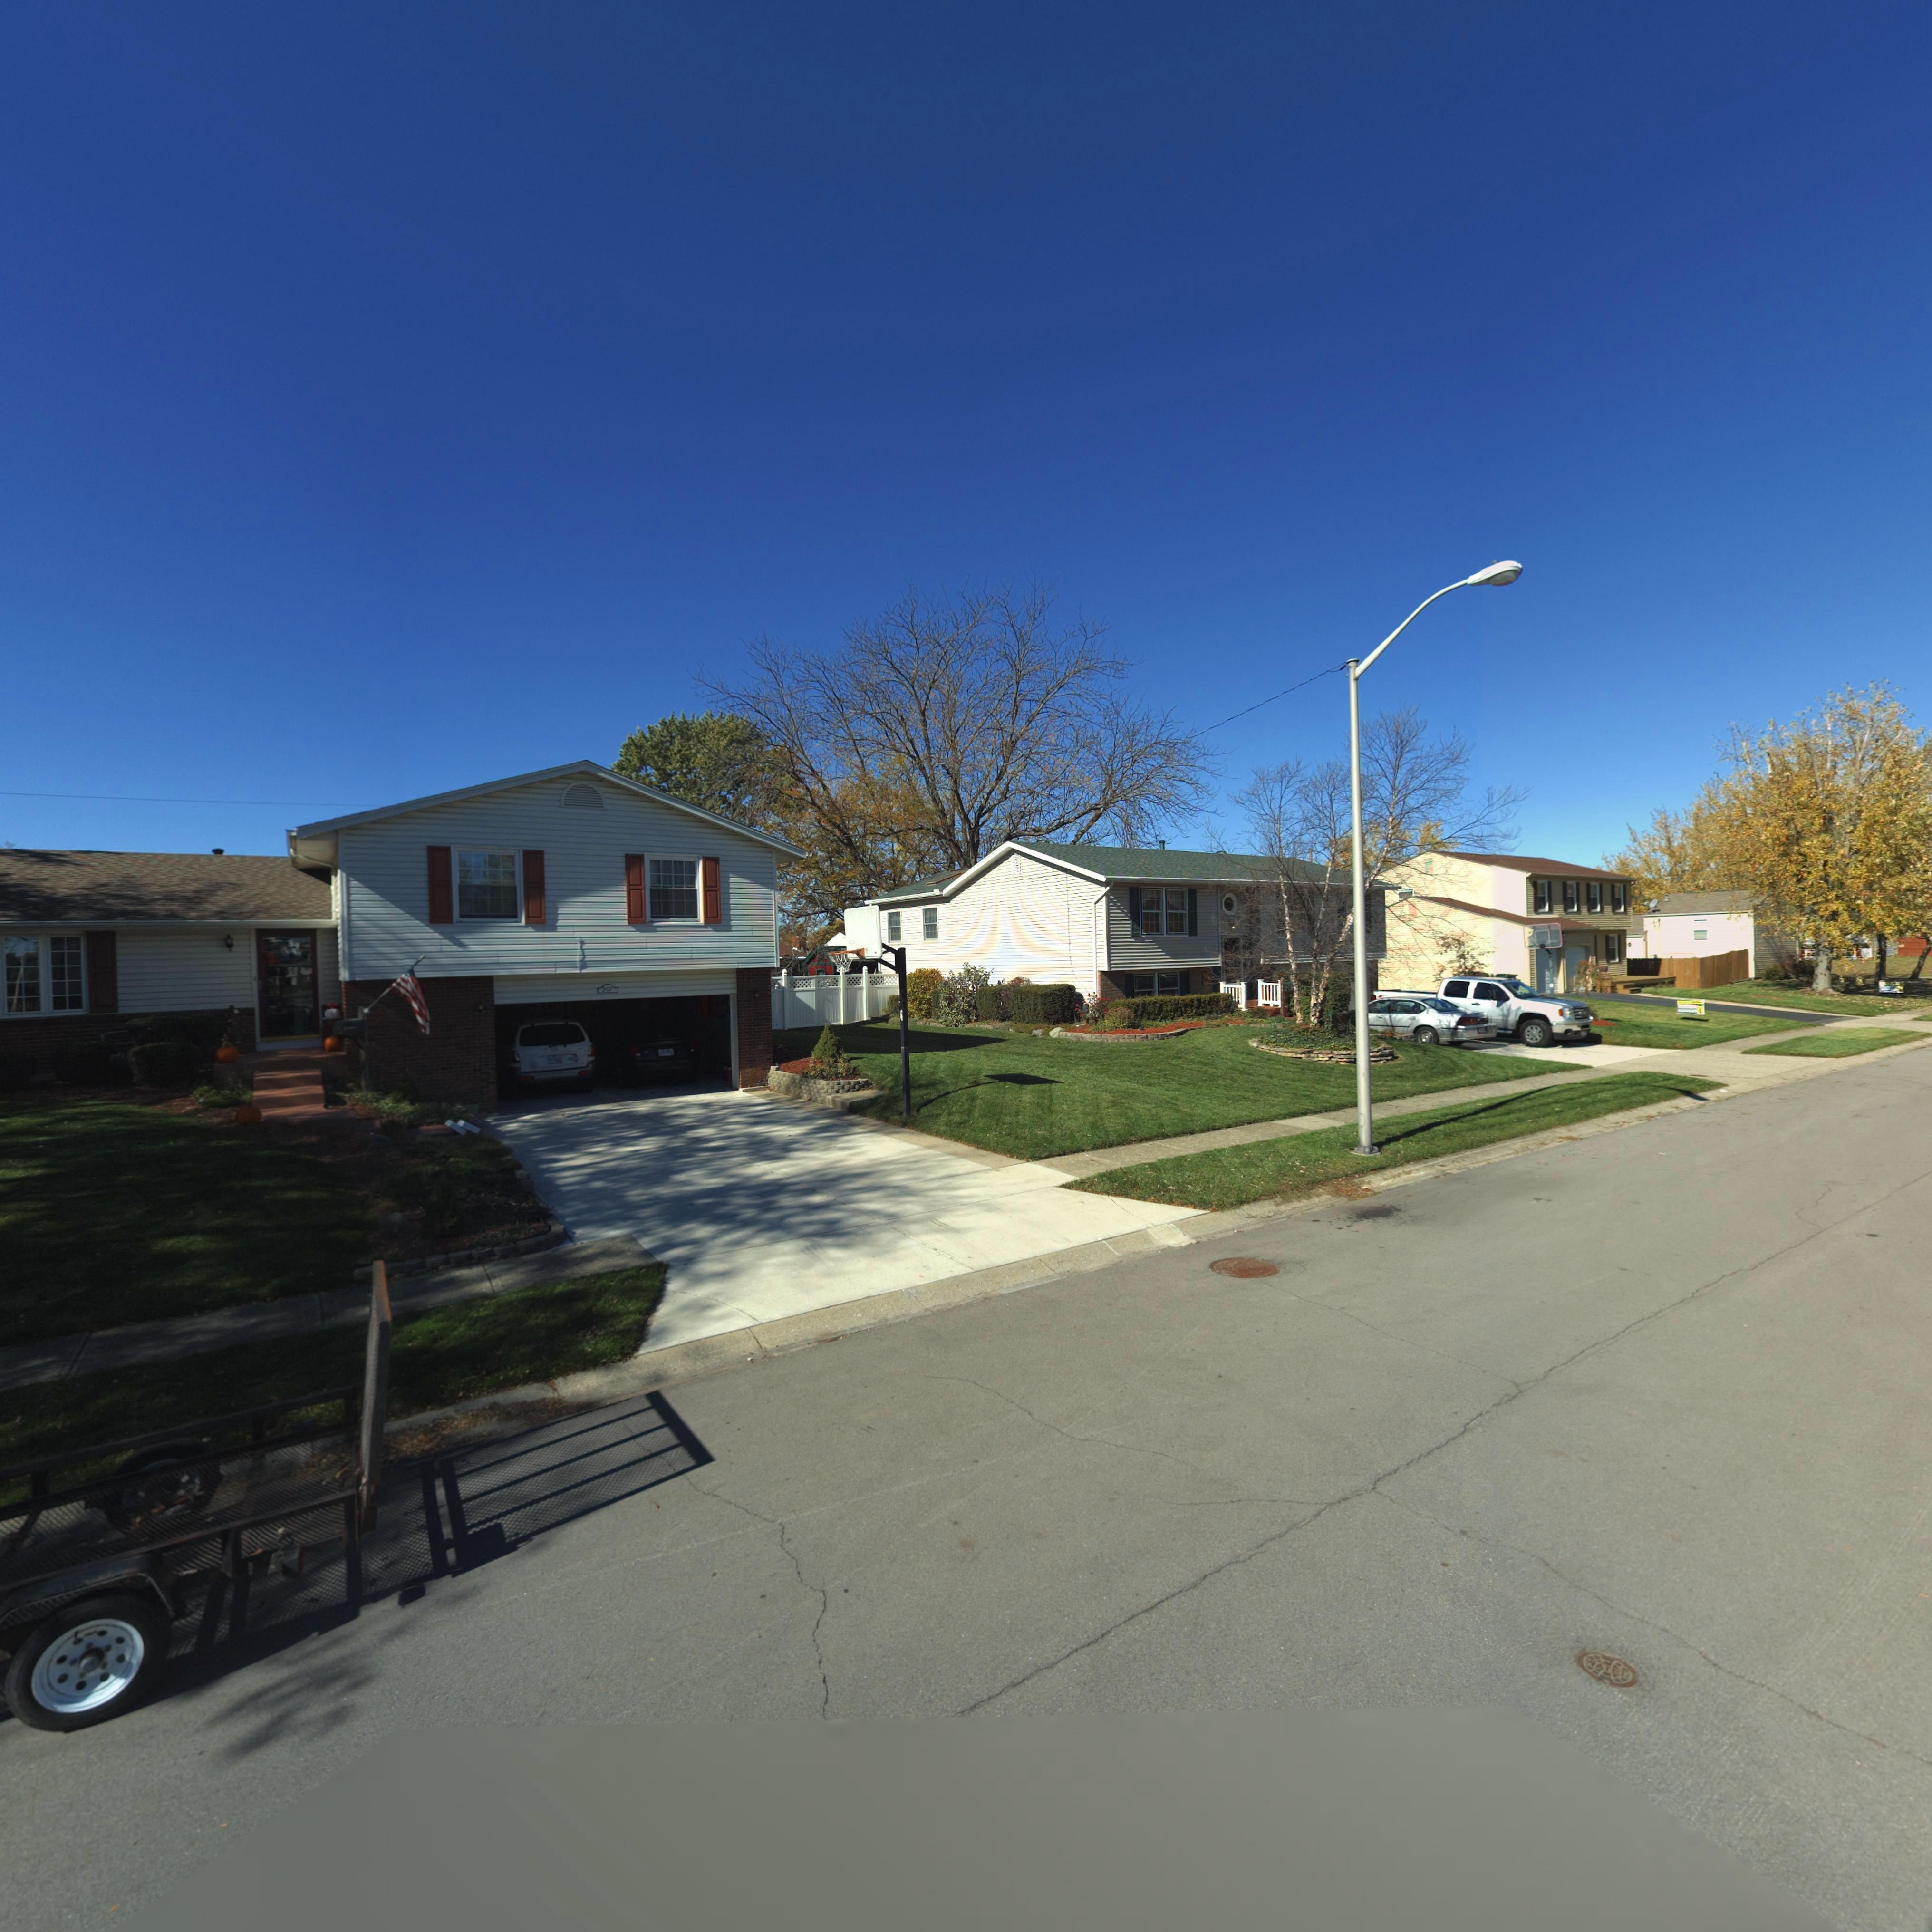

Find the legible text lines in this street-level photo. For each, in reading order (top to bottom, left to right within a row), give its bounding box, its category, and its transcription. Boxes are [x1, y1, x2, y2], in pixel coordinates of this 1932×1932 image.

[601, 985, 614, 993] StreetNumber: 20*